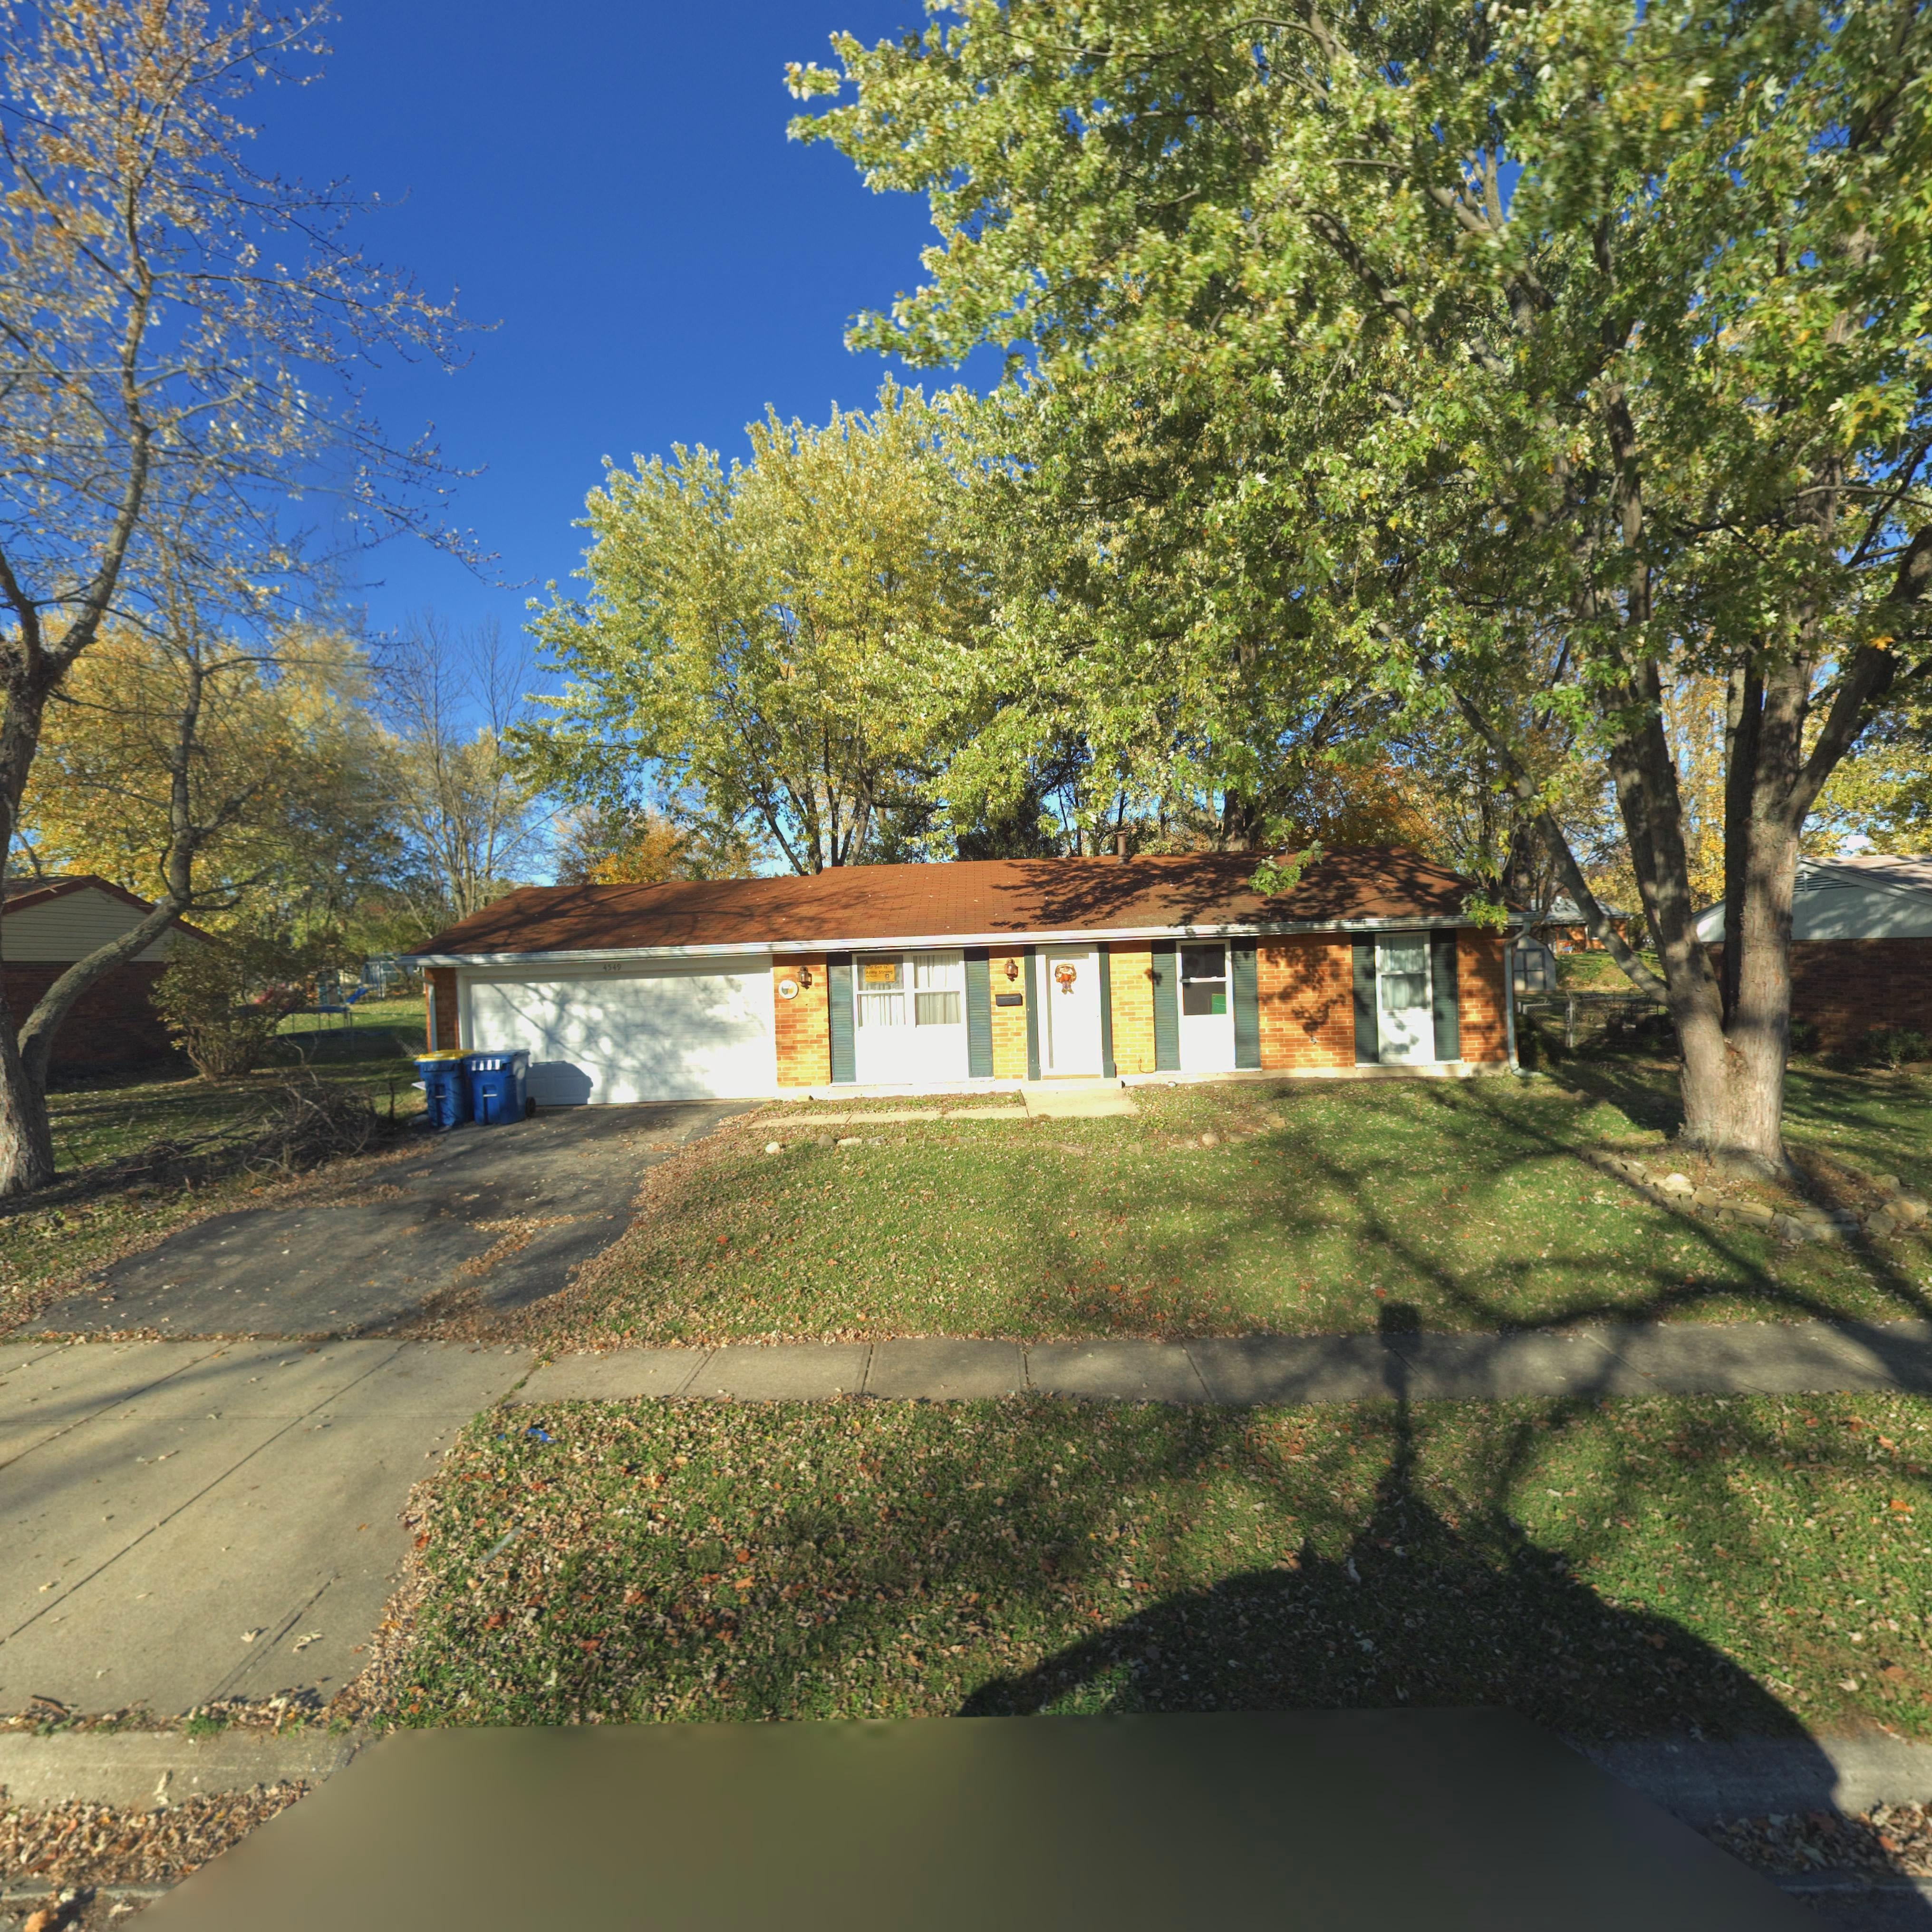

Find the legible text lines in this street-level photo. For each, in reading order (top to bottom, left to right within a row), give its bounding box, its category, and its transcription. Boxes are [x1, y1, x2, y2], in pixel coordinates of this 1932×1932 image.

[602, 963, 622, 972] StreetNumber: 4549